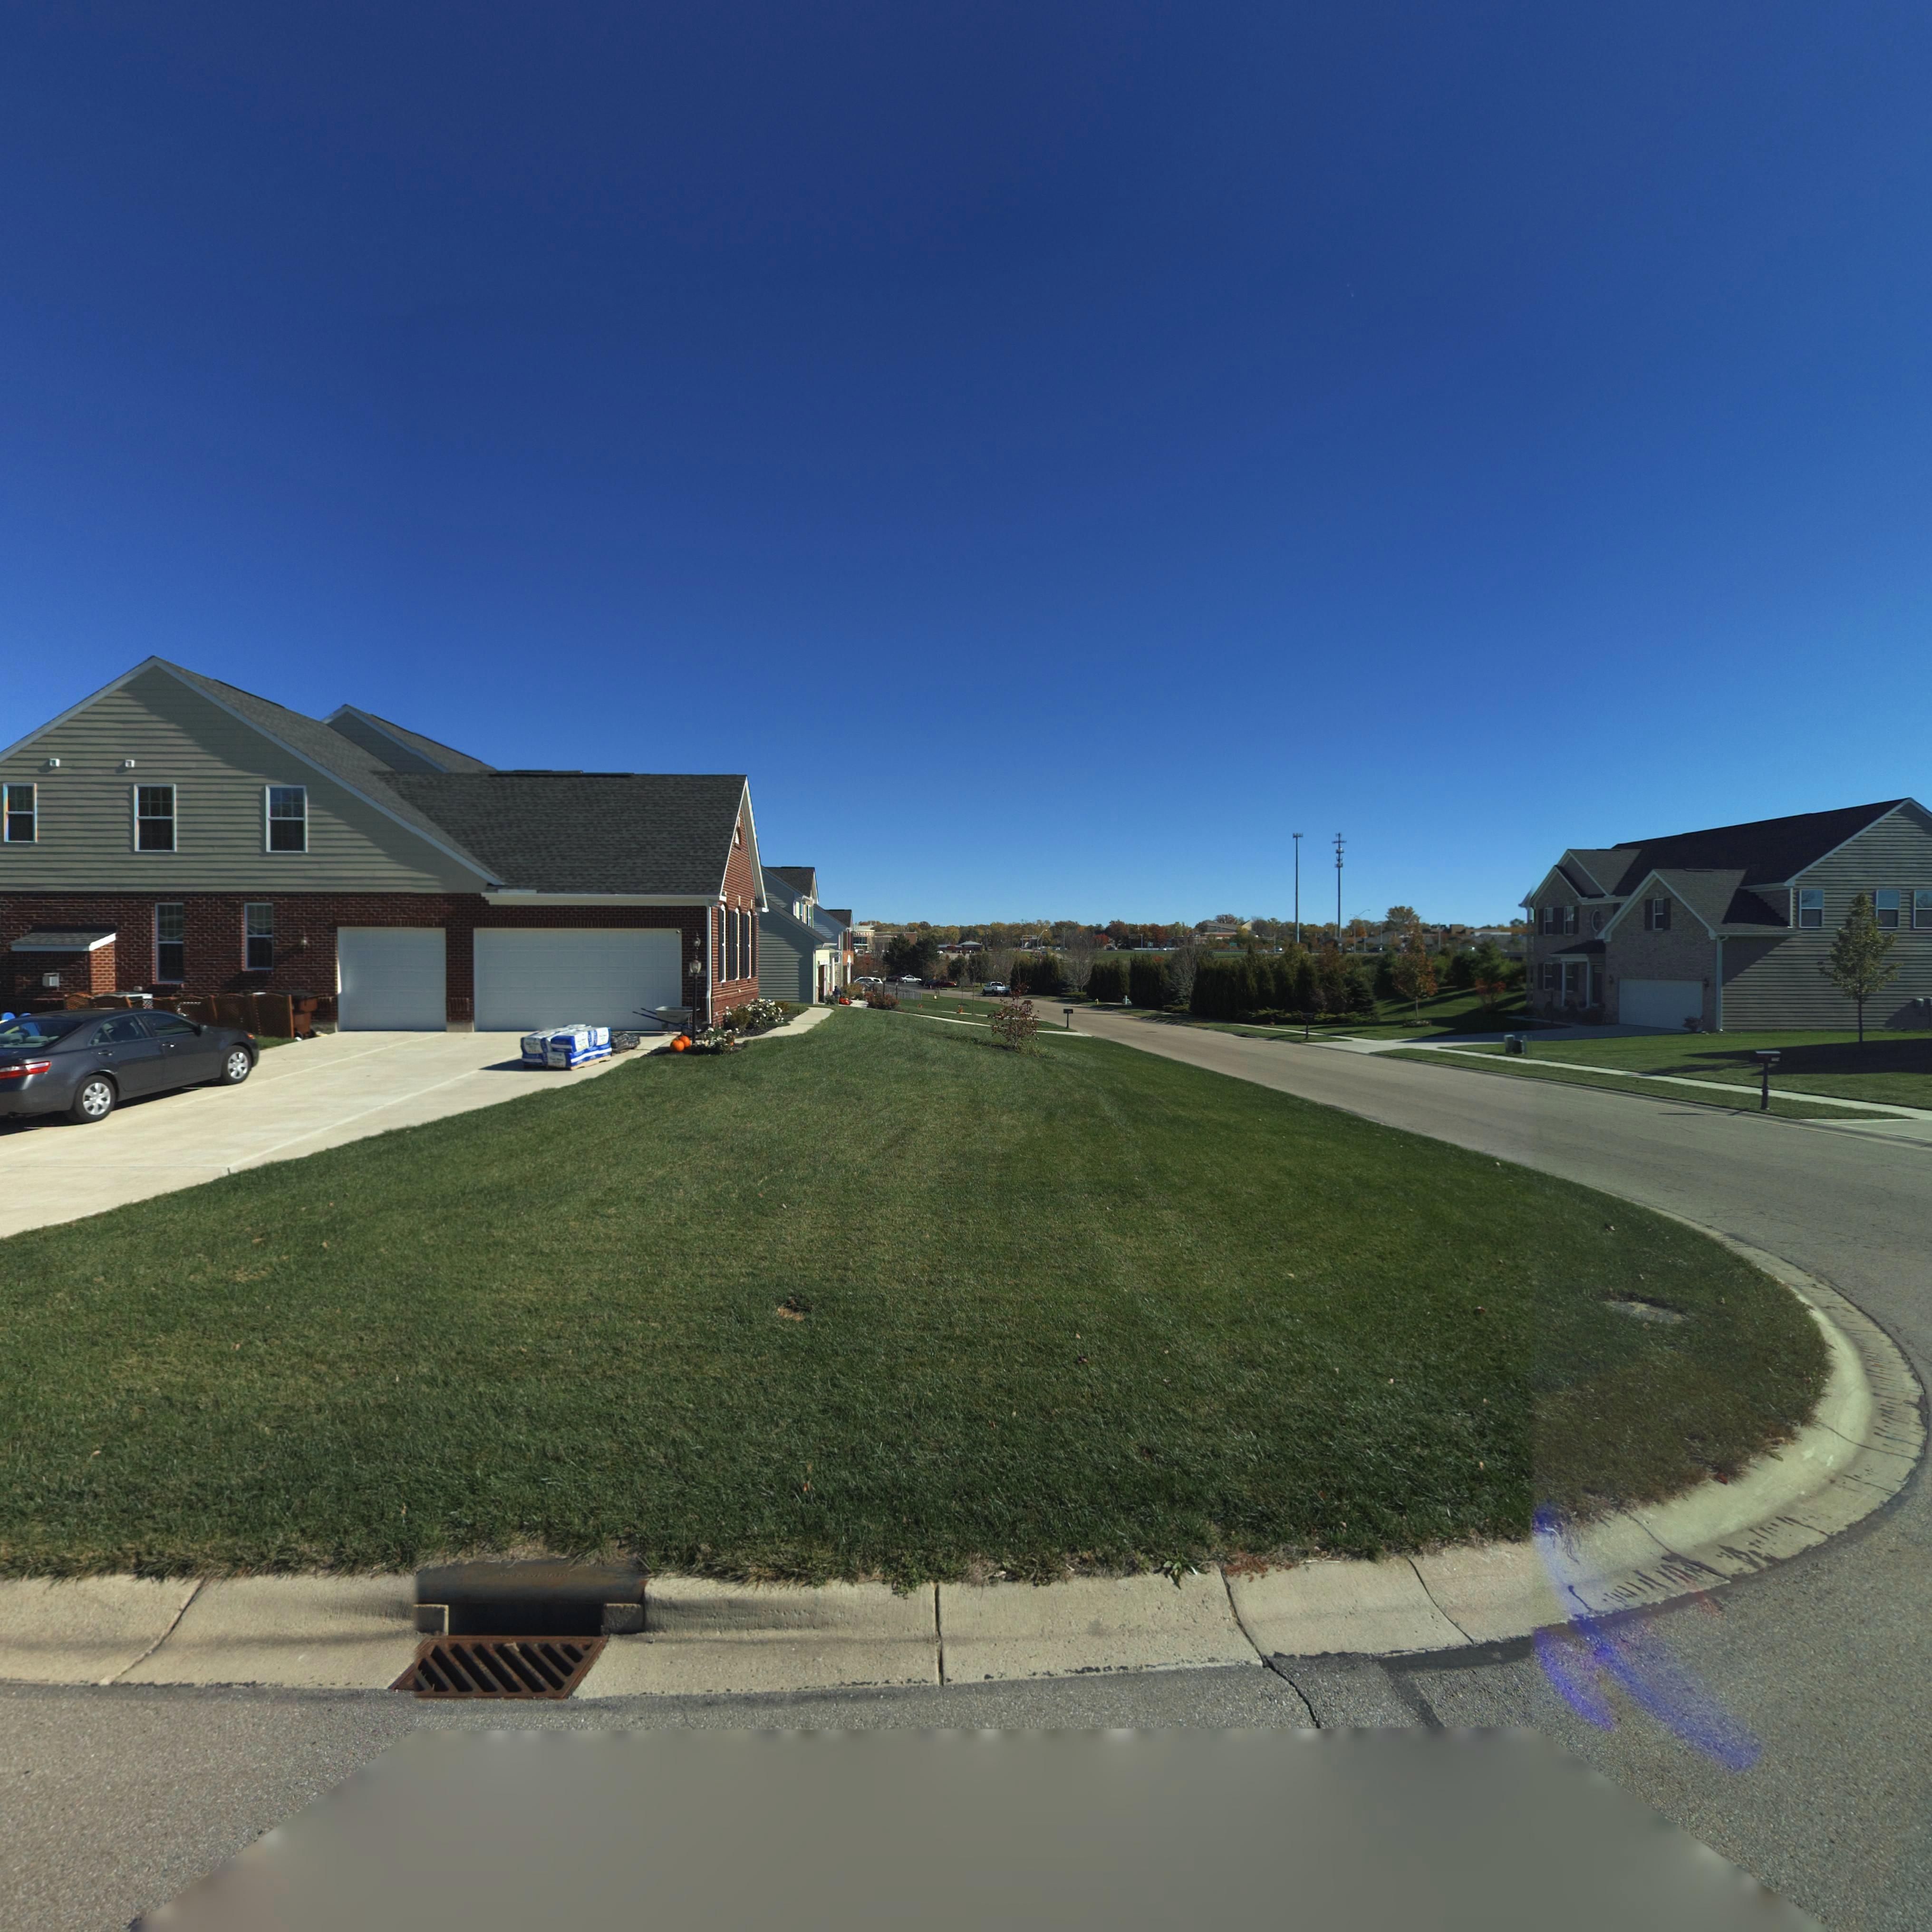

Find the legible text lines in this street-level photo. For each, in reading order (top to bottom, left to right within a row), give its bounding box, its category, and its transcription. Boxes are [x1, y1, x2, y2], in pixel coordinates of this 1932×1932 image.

[700, 971, 705, 976] StreetNumber: 0